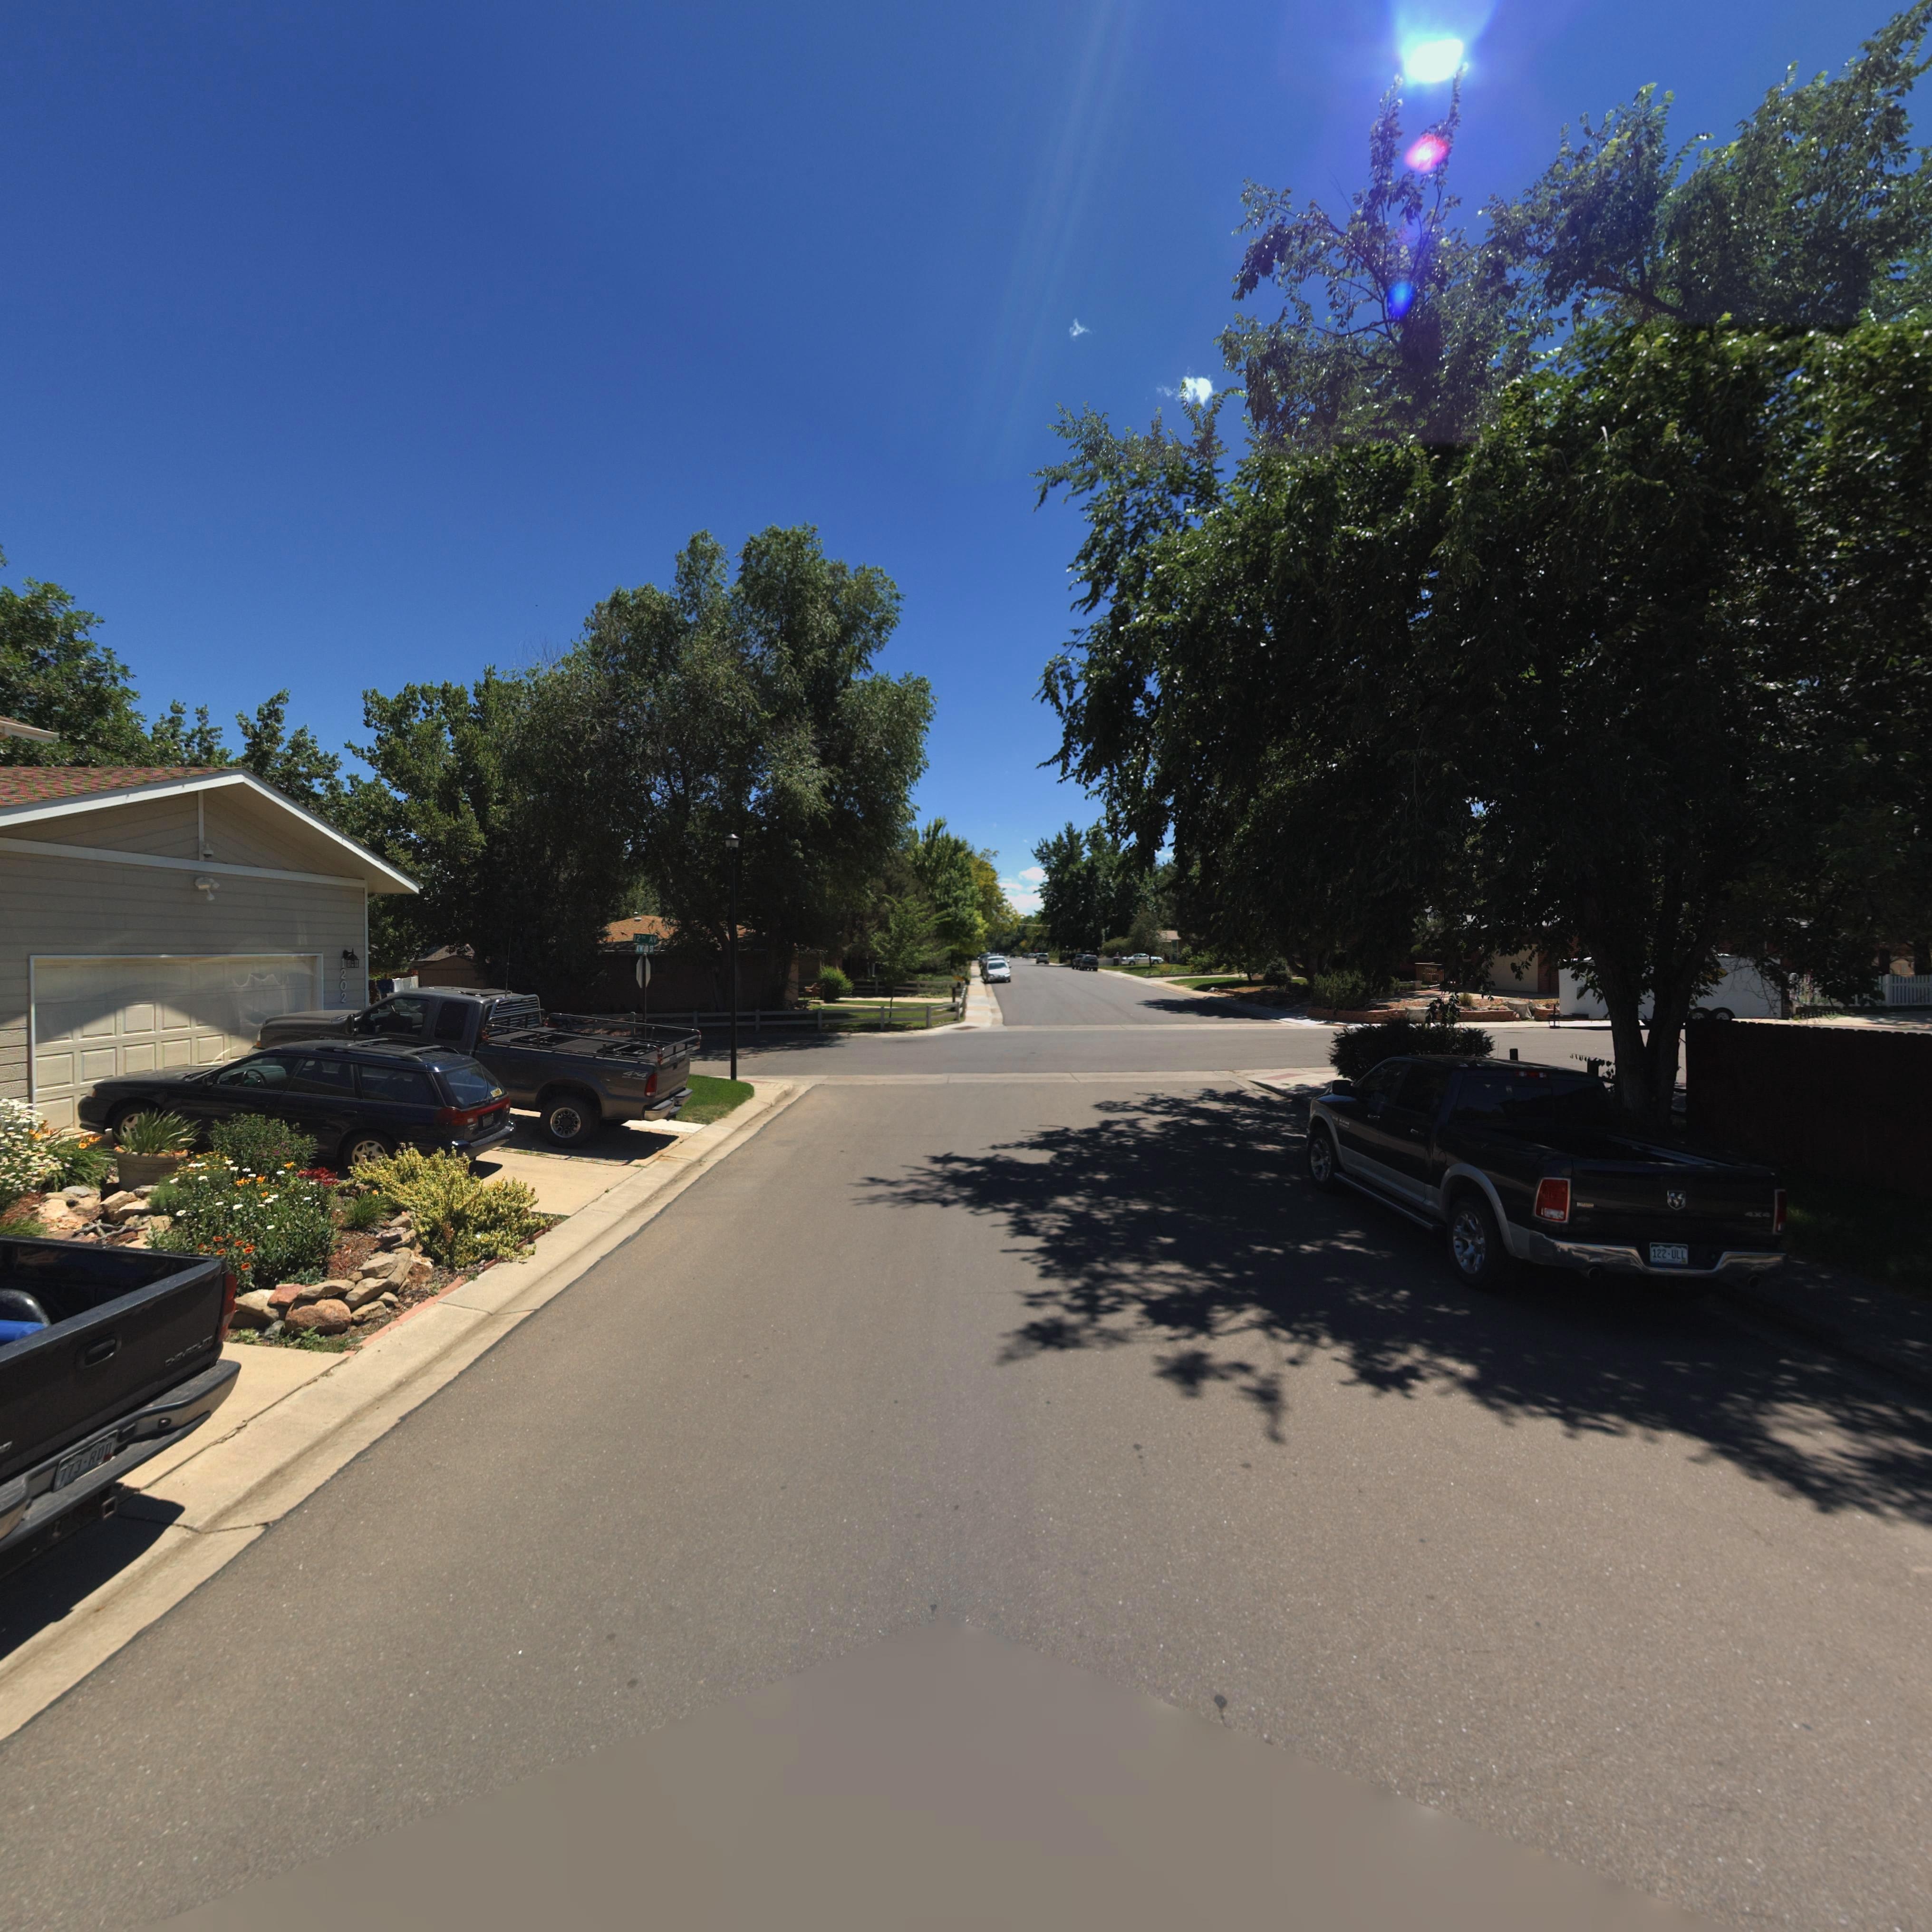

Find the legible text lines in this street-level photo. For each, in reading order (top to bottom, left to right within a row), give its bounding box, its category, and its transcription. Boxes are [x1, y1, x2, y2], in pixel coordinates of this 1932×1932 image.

[634, 934, 657, 943] StreetName: 12TH AV
[635, 945, 654, 953] StreetName: ATWOOD ST
[339, 957, 347, 1003] StreetNumber: 1202